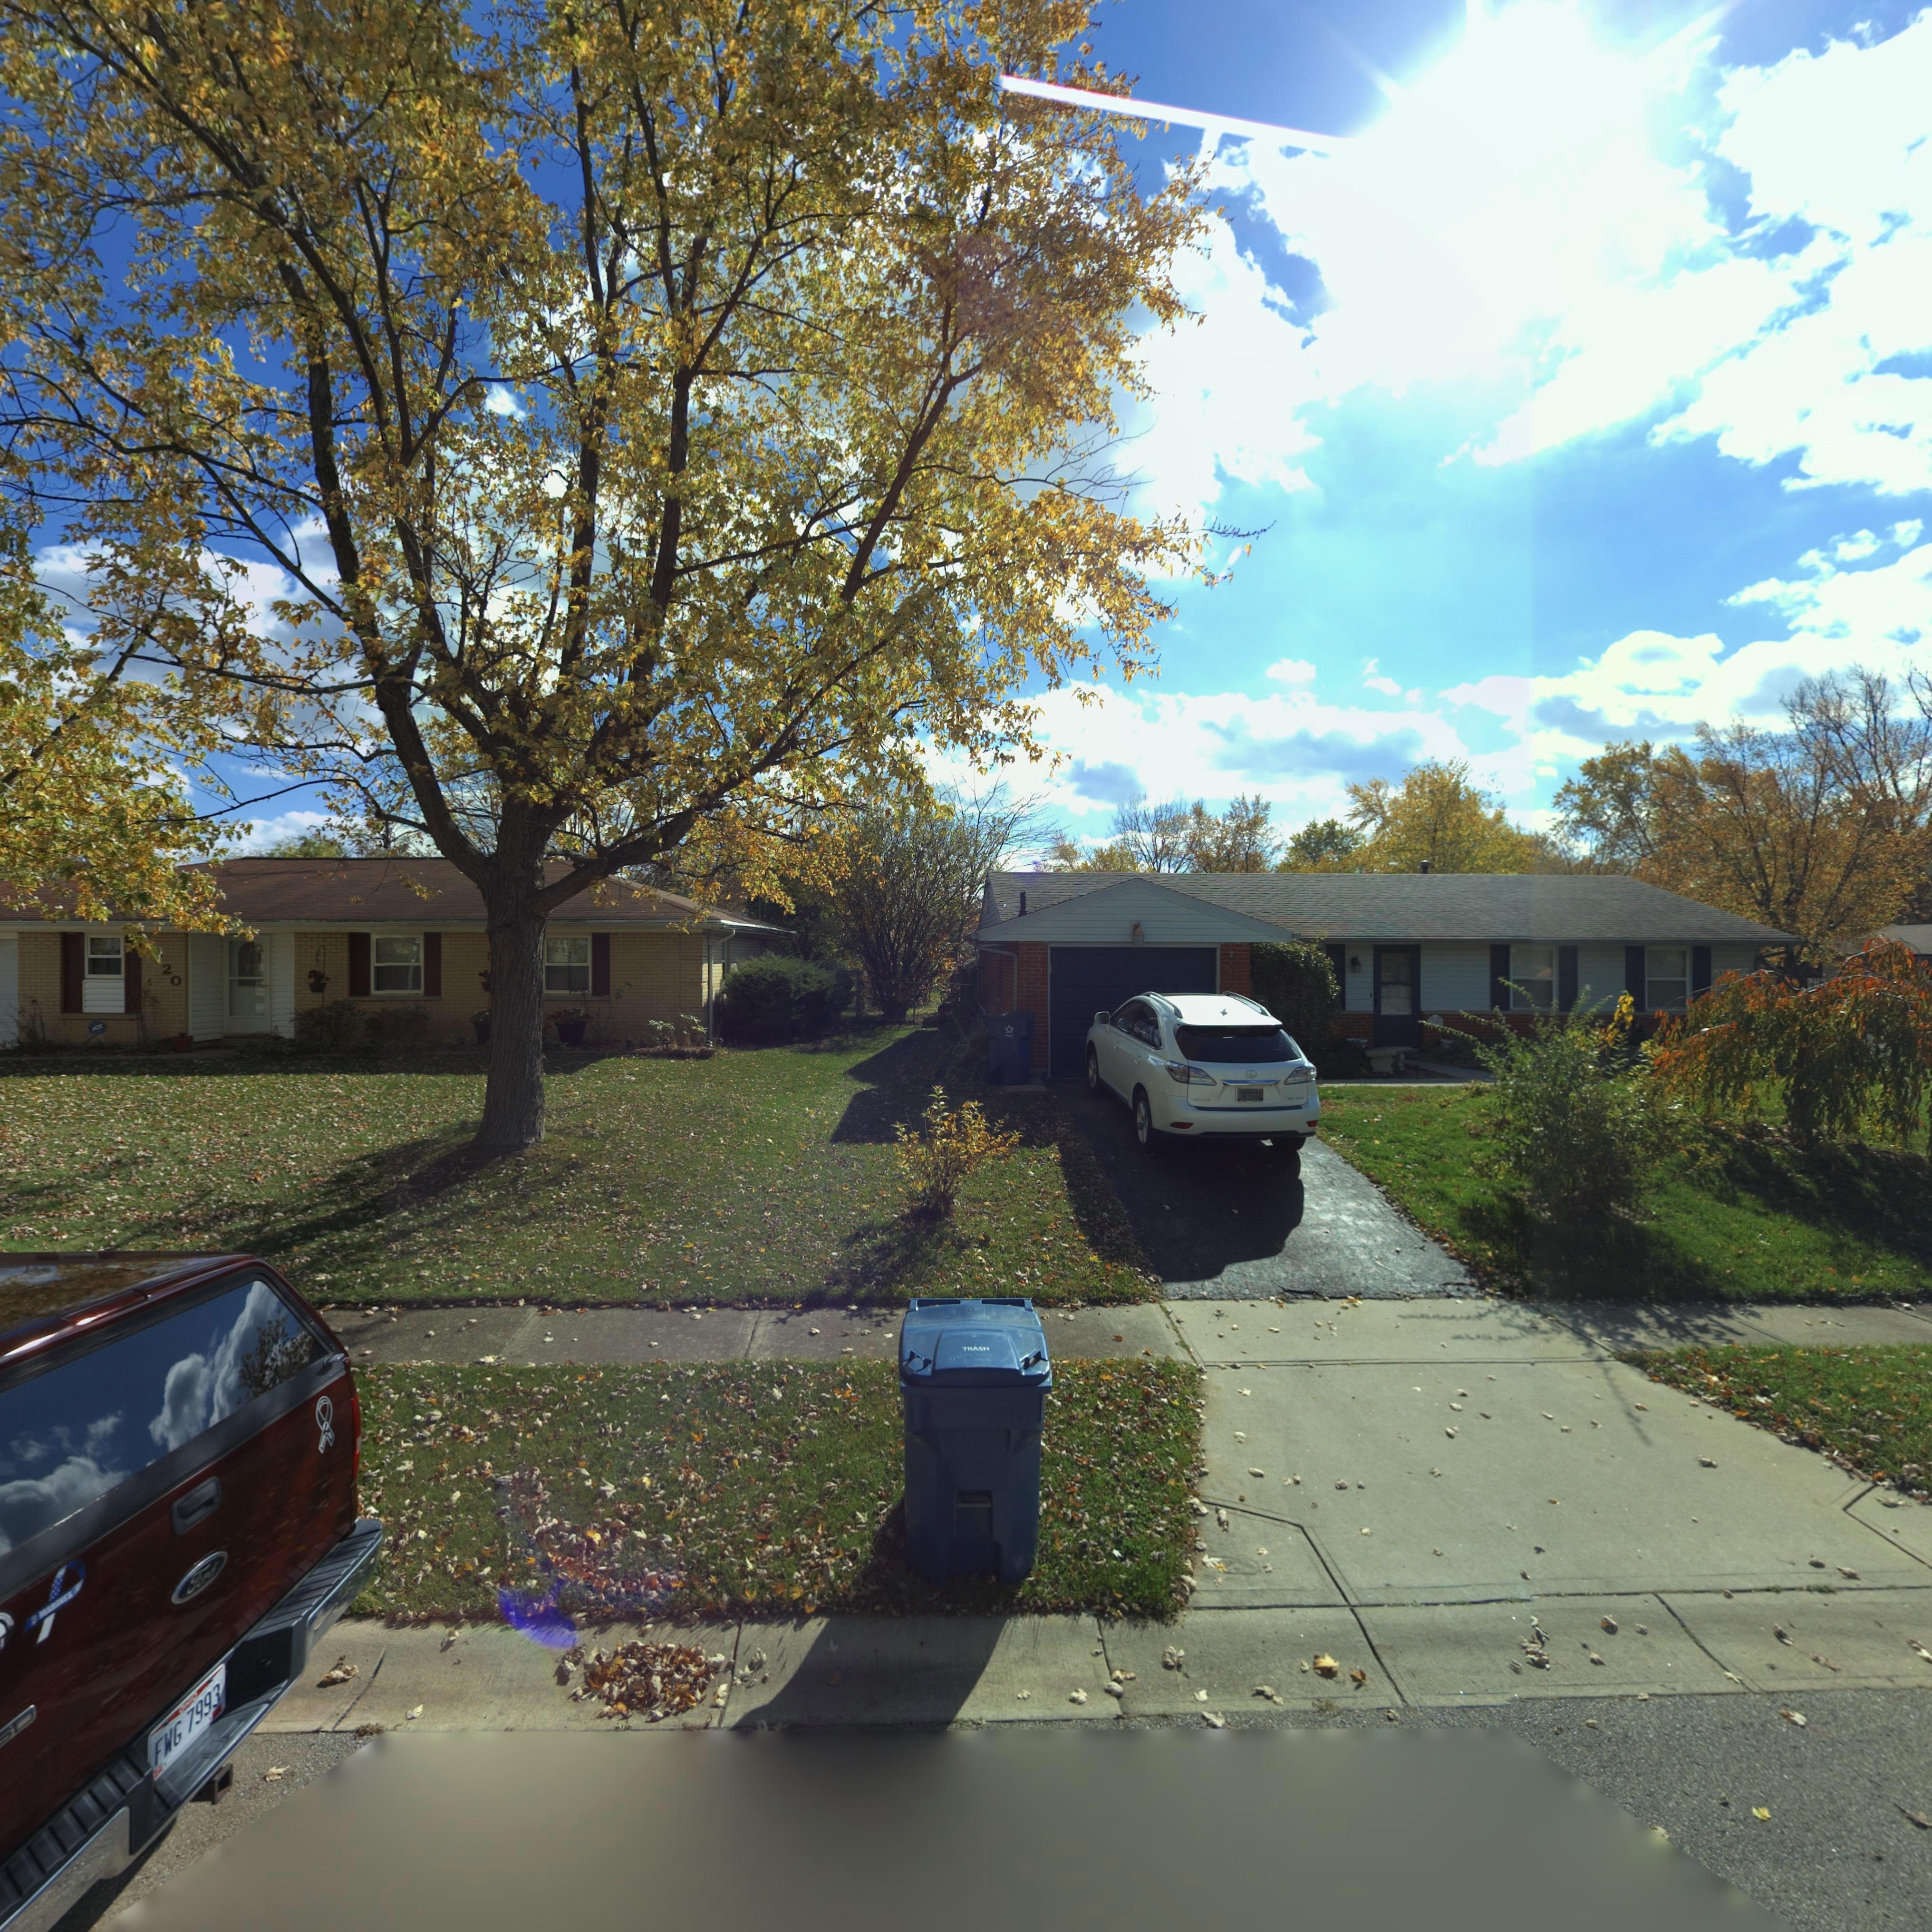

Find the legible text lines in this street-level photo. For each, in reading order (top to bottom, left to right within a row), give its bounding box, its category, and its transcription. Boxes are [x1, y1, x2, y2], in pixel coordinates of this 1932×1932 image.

[161, 963, 182, 987] StreetNumber: 20